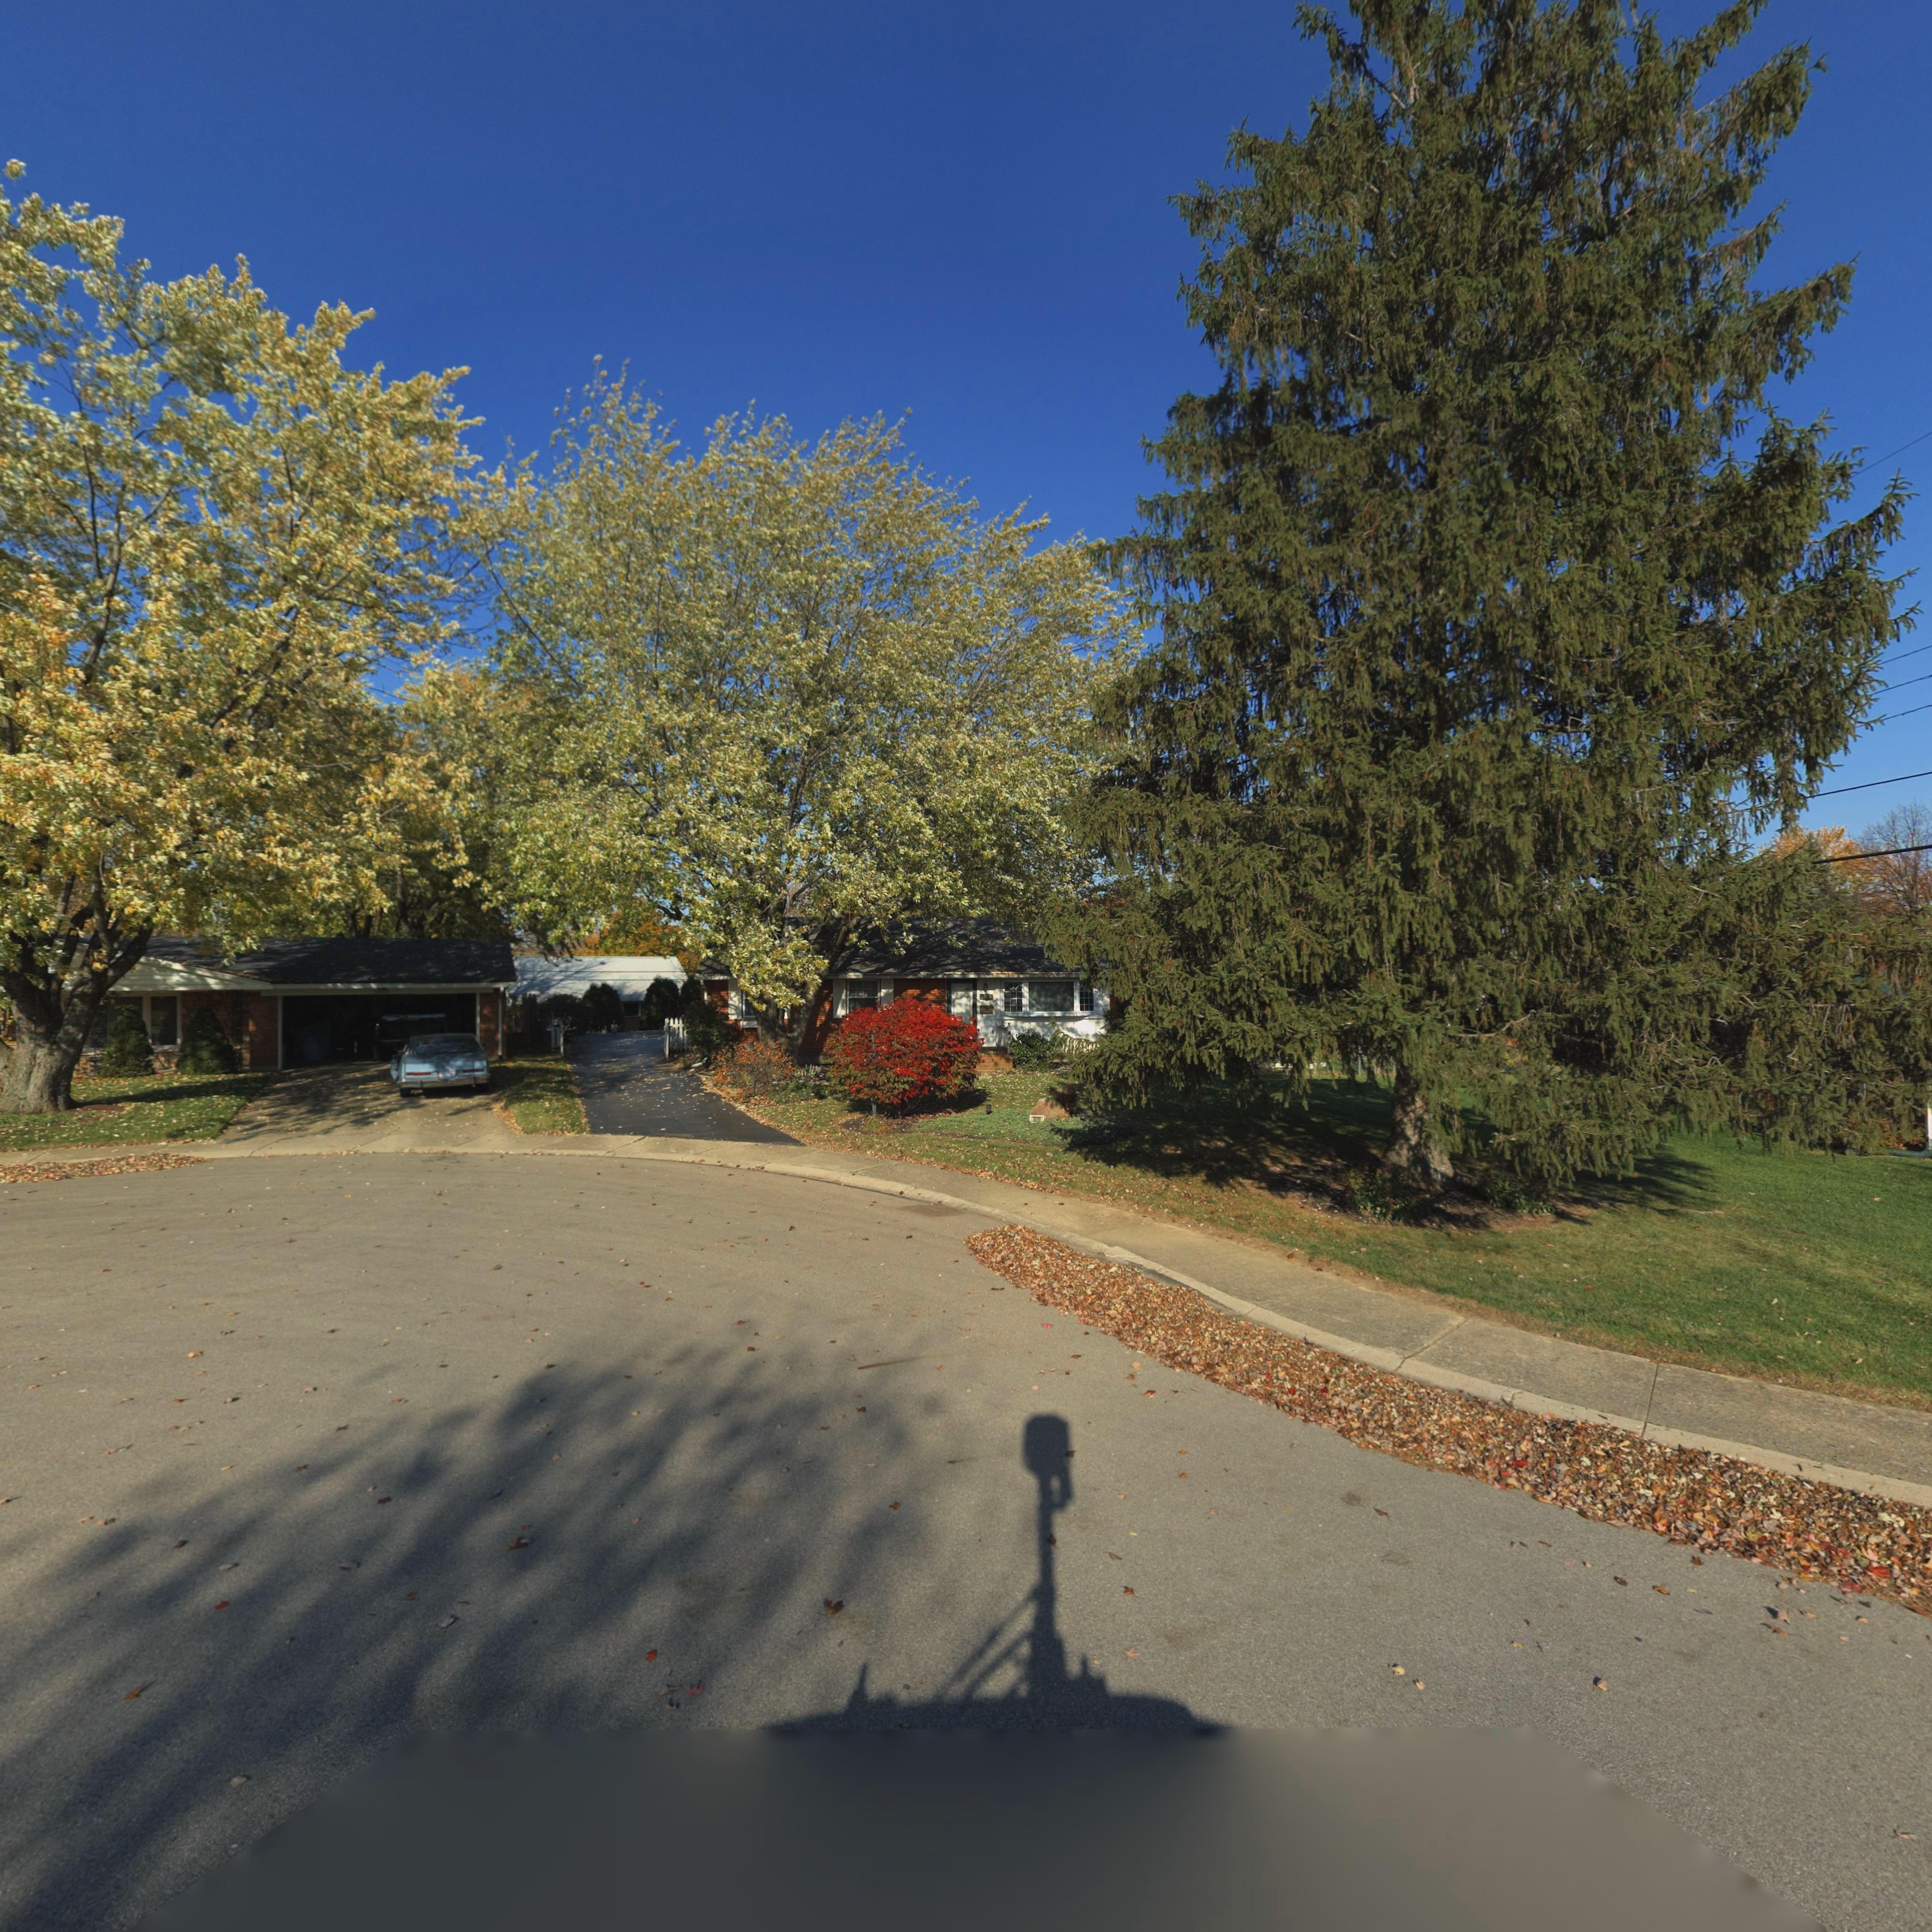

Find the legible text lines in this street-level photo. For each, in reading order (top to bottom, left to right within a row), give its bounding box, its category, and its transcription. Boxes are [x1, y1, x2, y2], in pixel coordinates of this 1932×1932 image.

[980, 995, 993, 999] StreetNumber: 301*
[1032, 1117, 1042, 1121] StreetNumber: 3*10